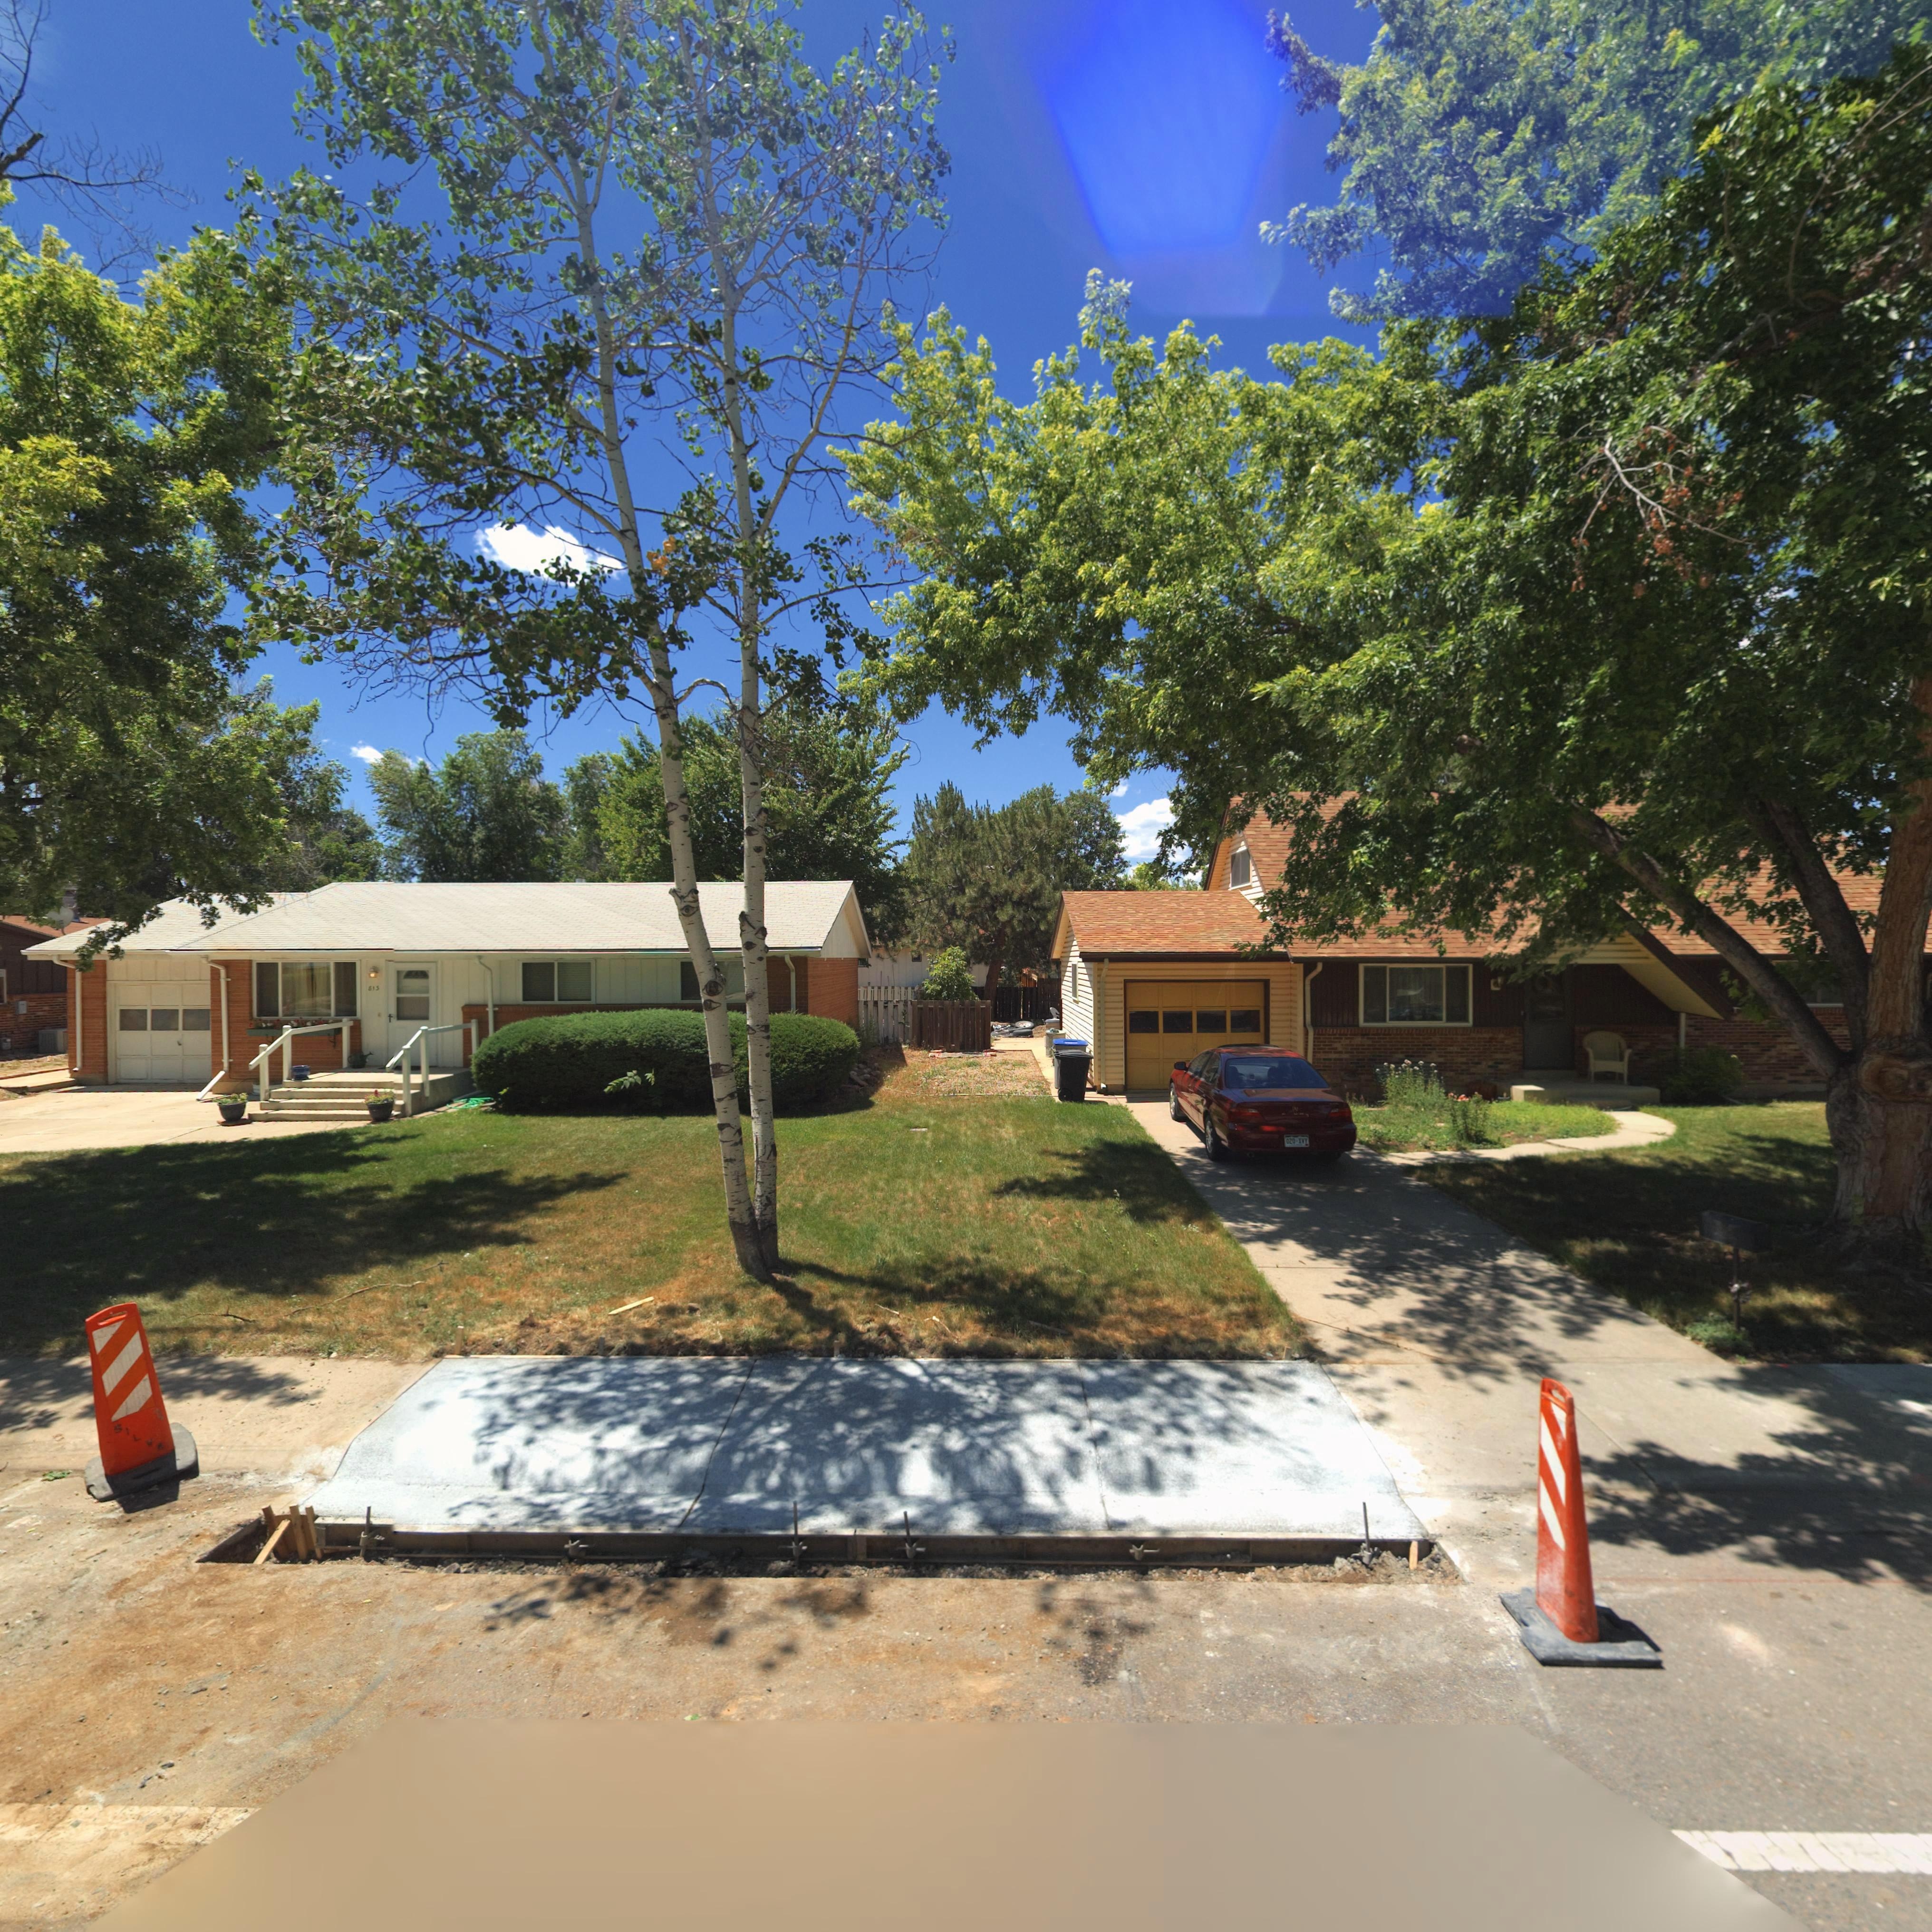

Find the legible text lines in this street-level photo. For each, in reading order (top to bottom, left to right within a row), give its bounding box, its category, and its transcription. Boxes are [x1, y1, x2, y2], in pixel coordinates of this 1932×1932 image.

[368, 985, 379, 991] StreetNumber: 81*